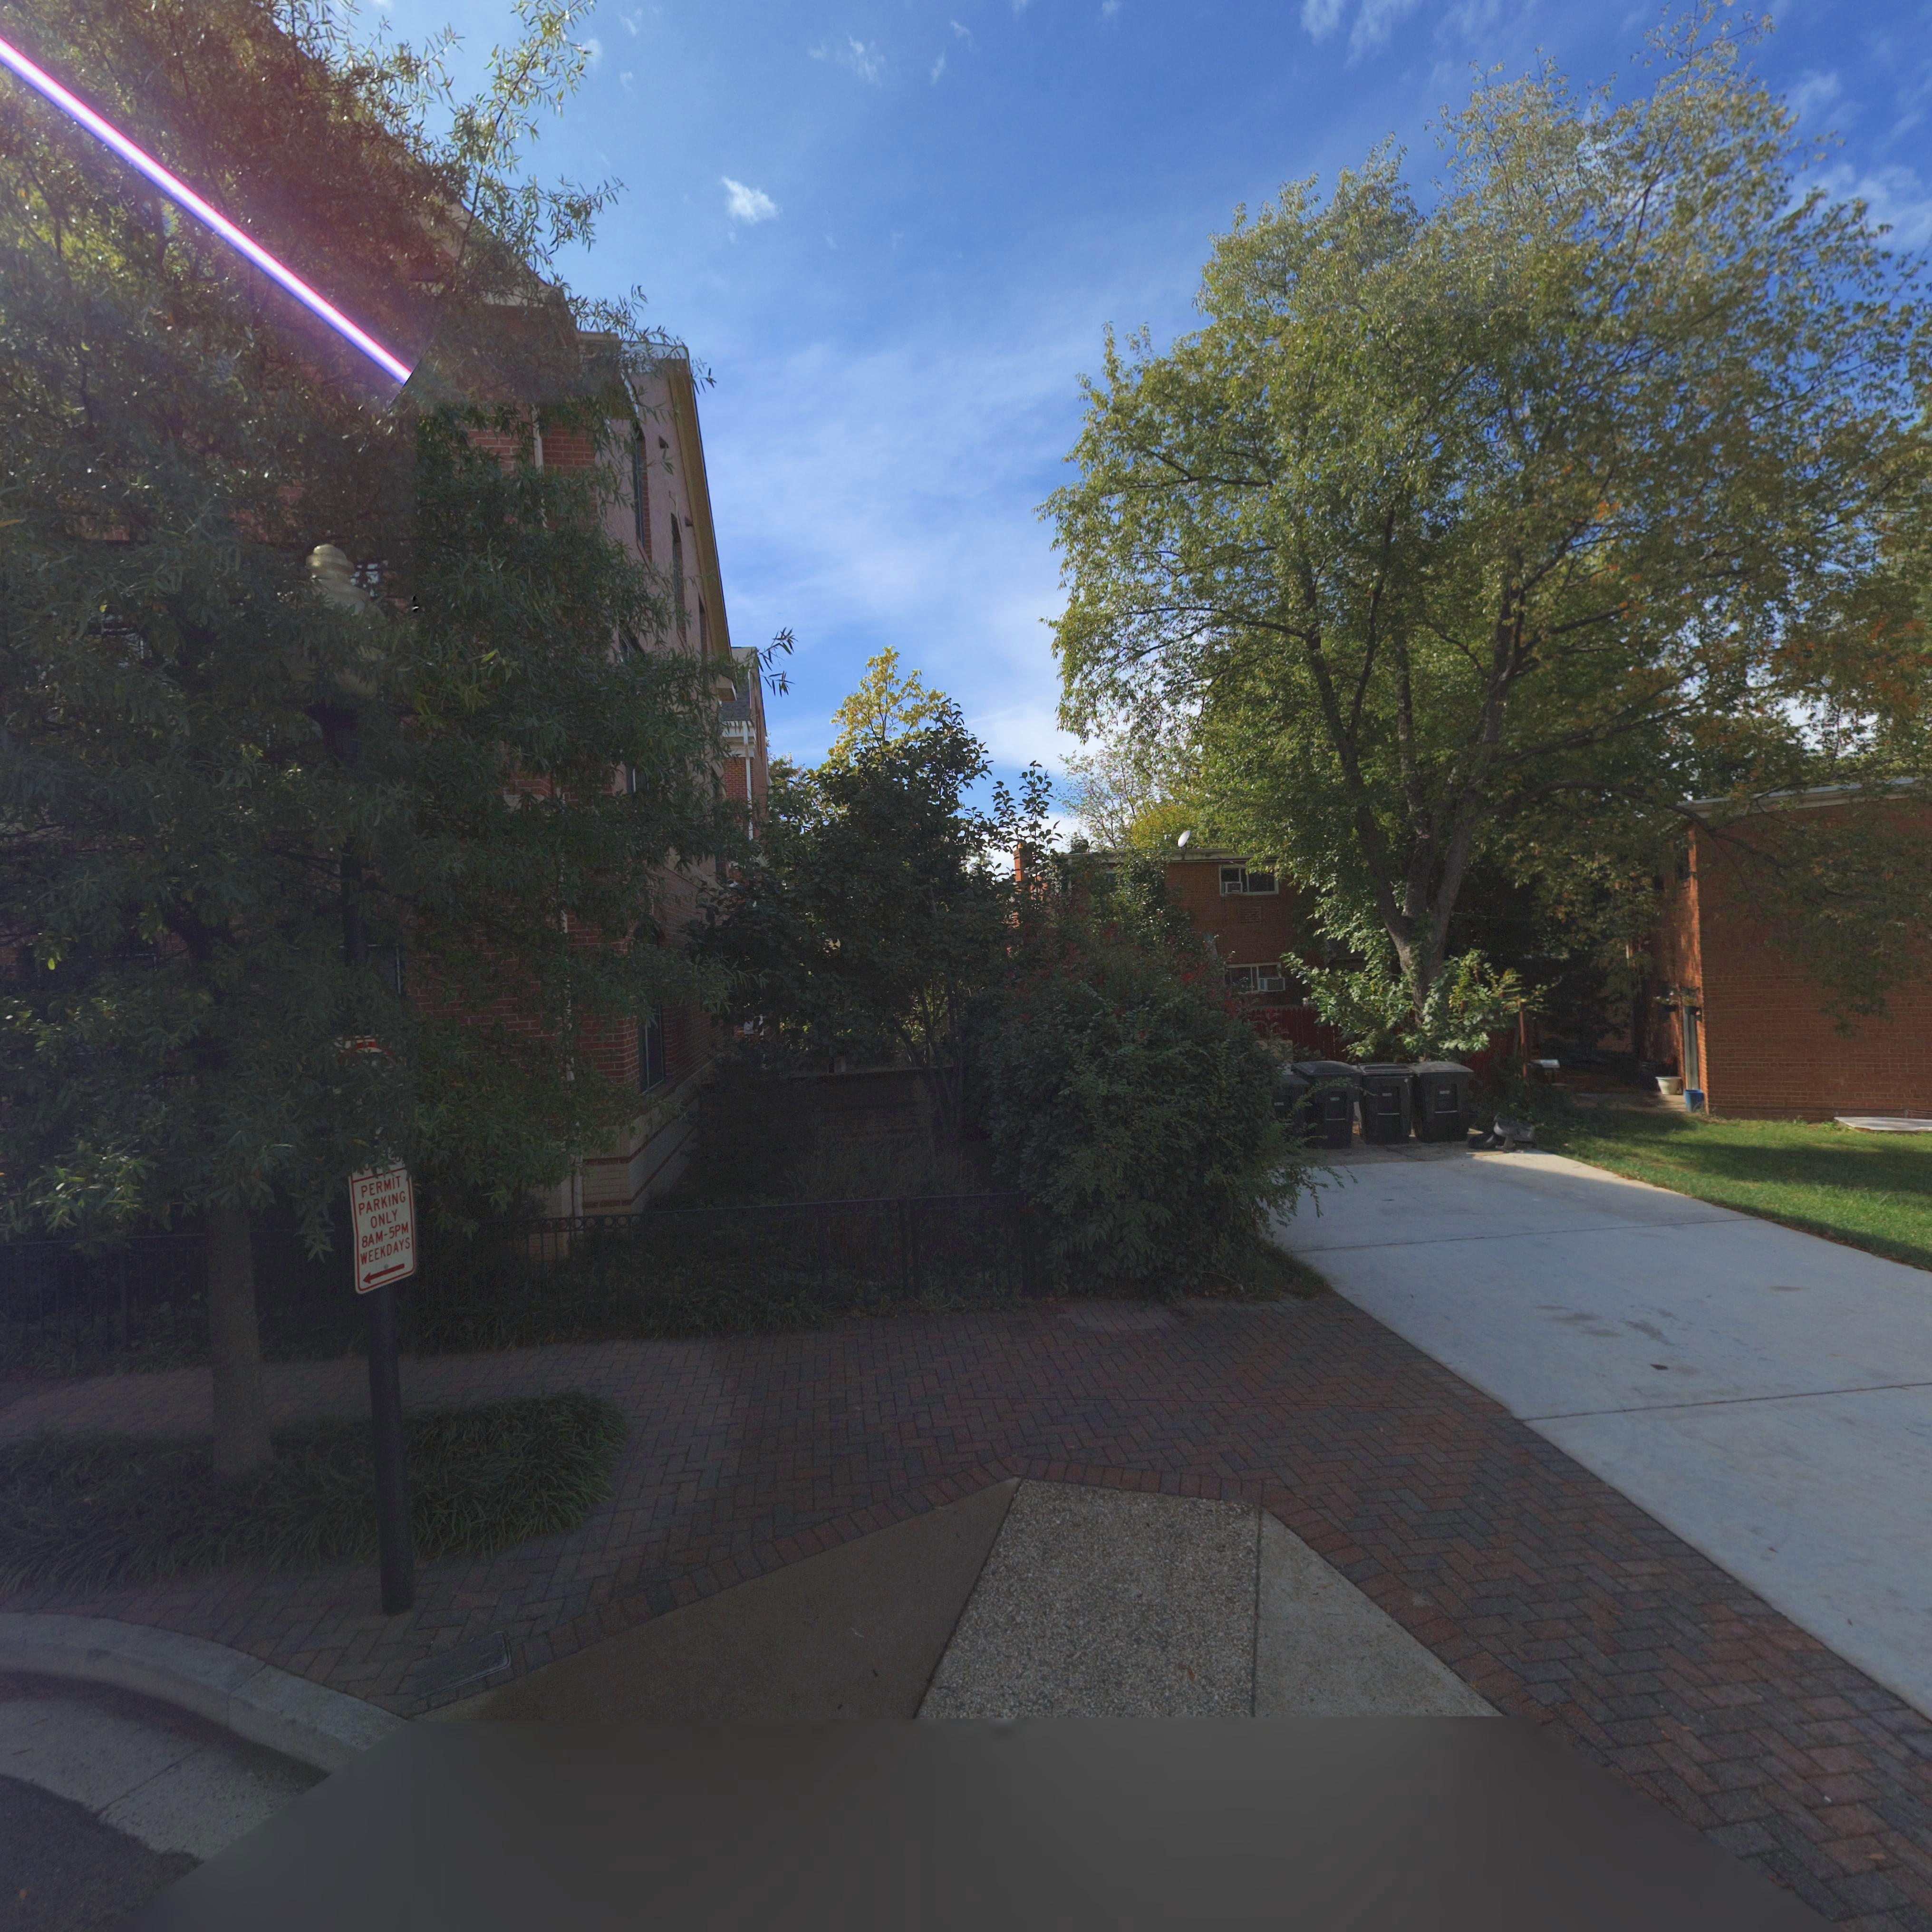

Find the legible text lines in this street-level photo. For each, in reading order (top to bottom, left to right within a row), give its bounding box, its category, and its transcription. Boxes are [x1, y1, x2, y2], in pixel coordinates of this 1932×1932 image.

[359, 1174, 402, 1199] None: PERMIT
[357, 1189, 407, 1217] None: PARKING
[369, 1207, 399, 1230] None: ONLY
[360, 1218, 411, 1249] None: 8AM-5PM
[357, 1235, 412, 1267] None: WEEKDAYS